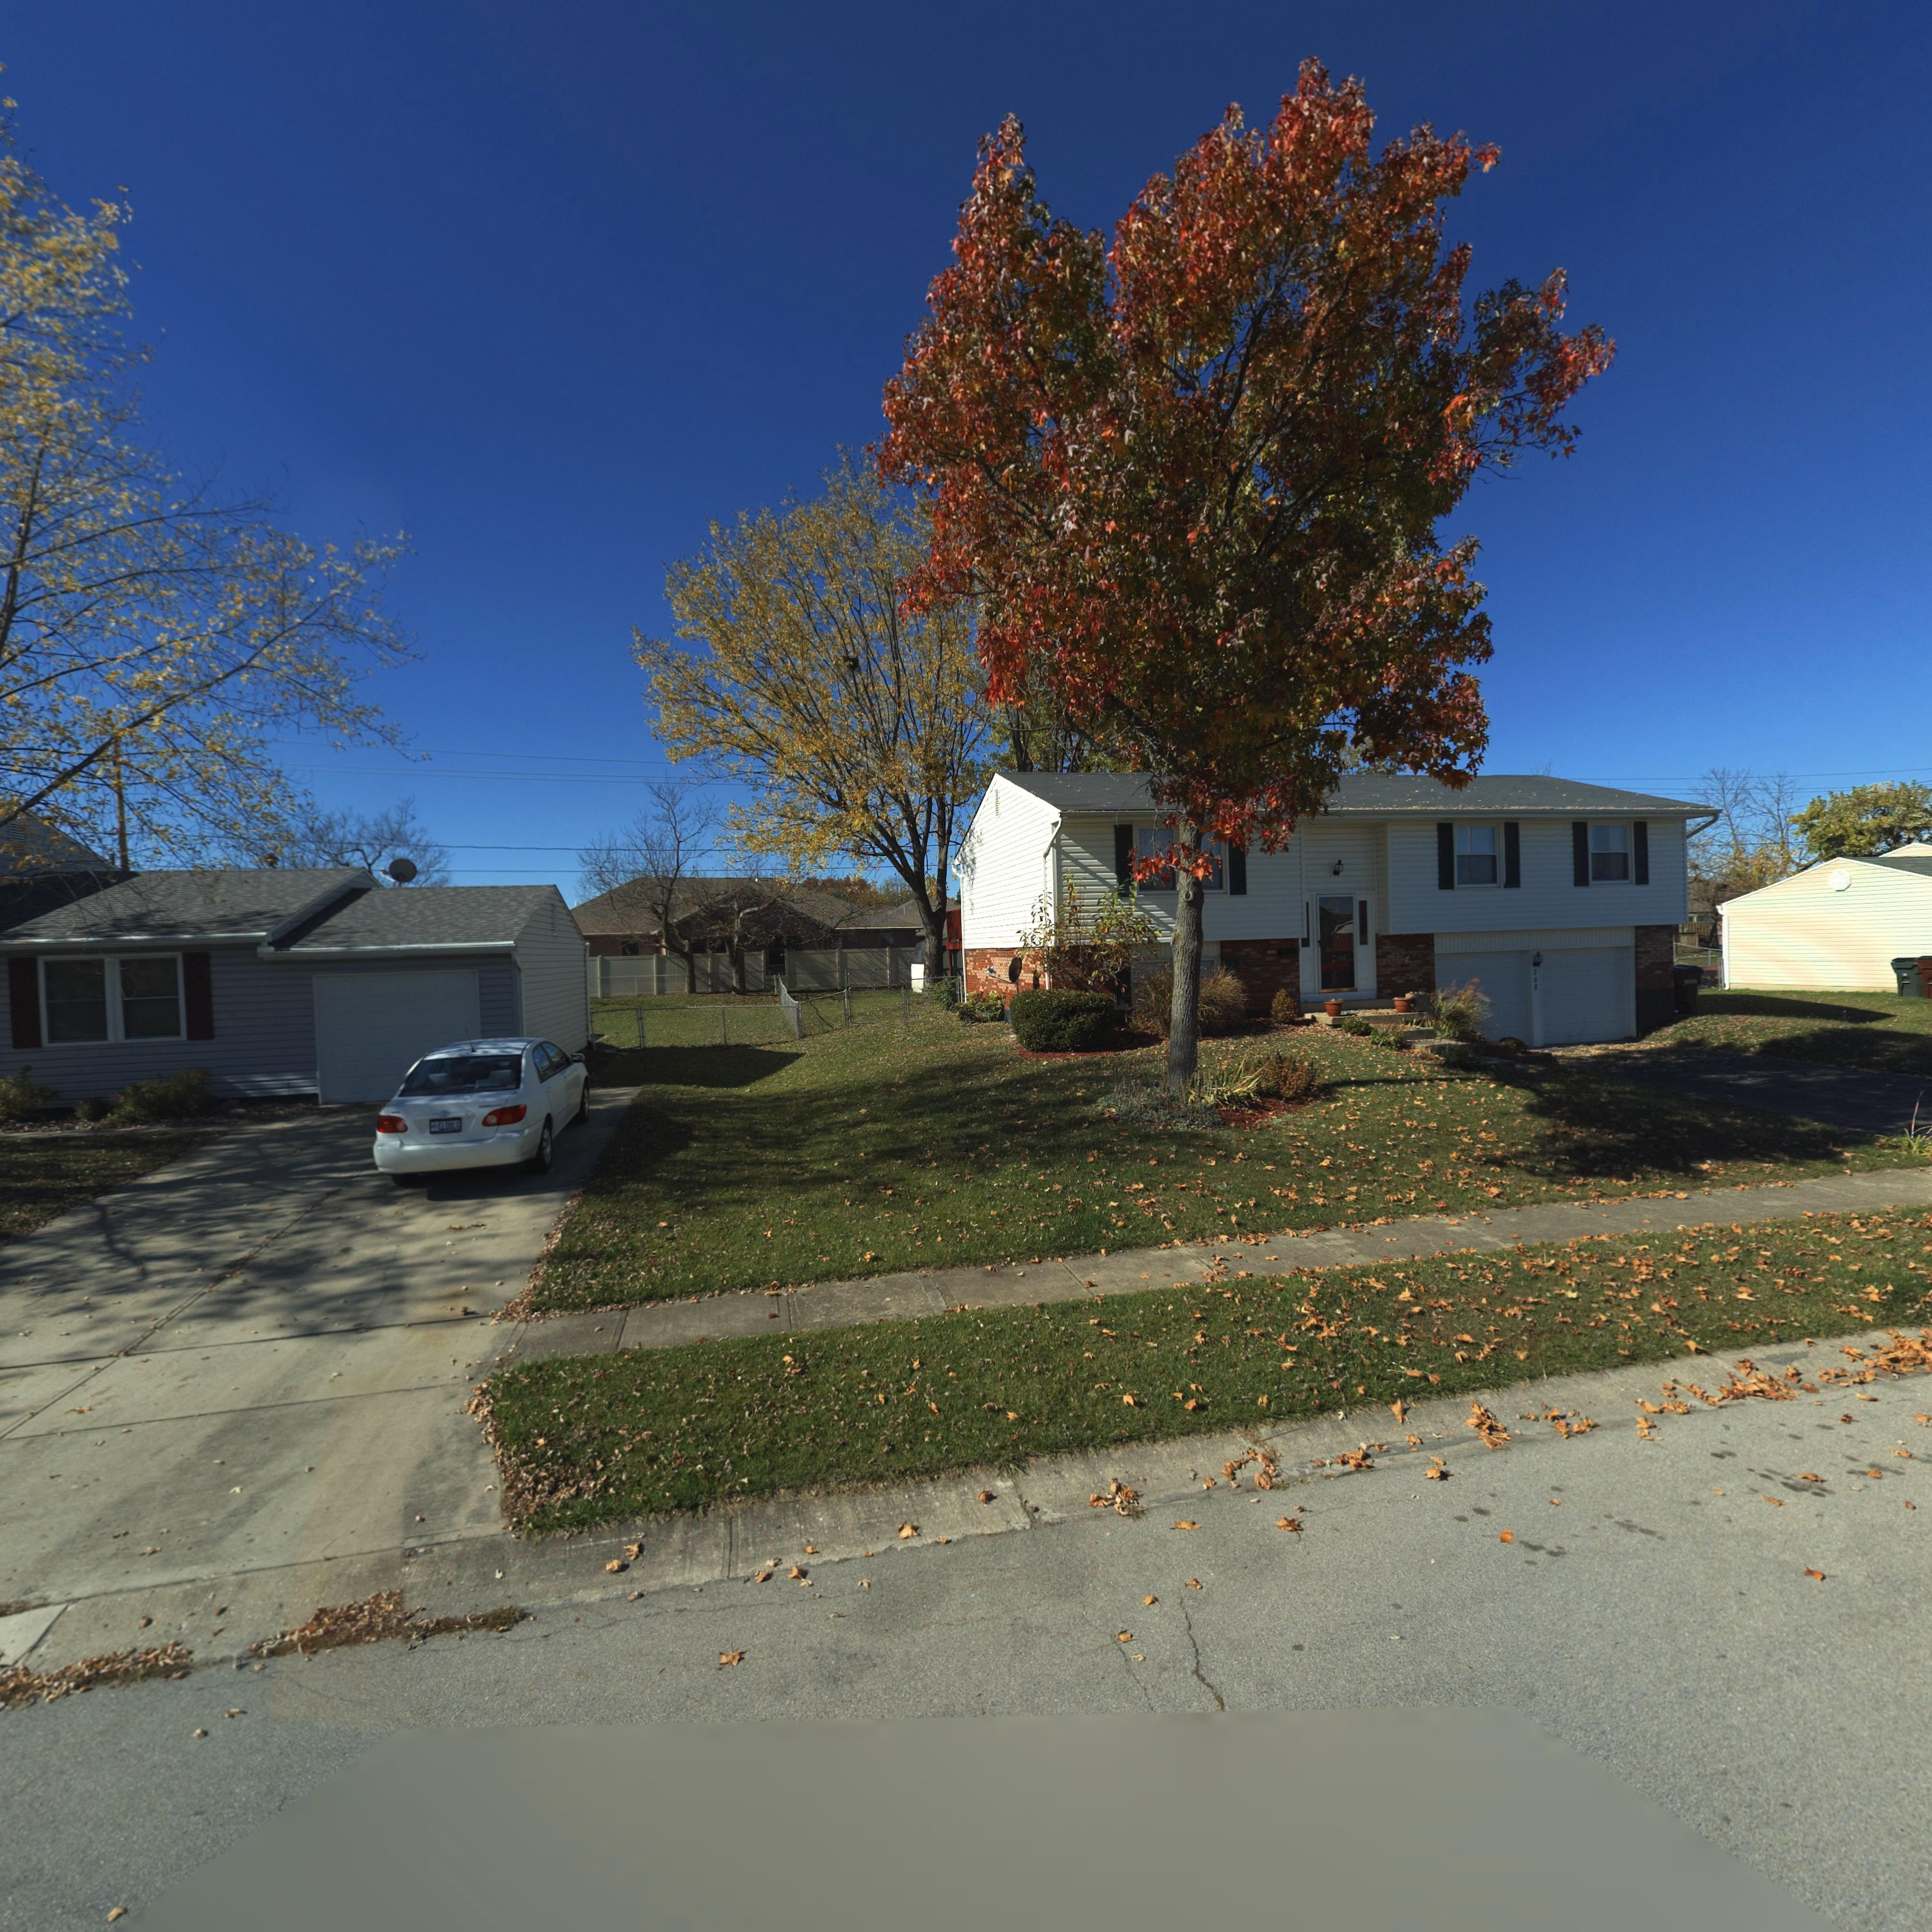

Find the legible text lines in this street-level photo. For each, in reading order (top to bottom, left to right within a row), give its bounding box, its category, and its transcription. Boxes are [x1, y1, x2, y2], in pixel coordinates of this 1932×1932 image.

[1533, 967, 1538, 991] StreetNumber: 508